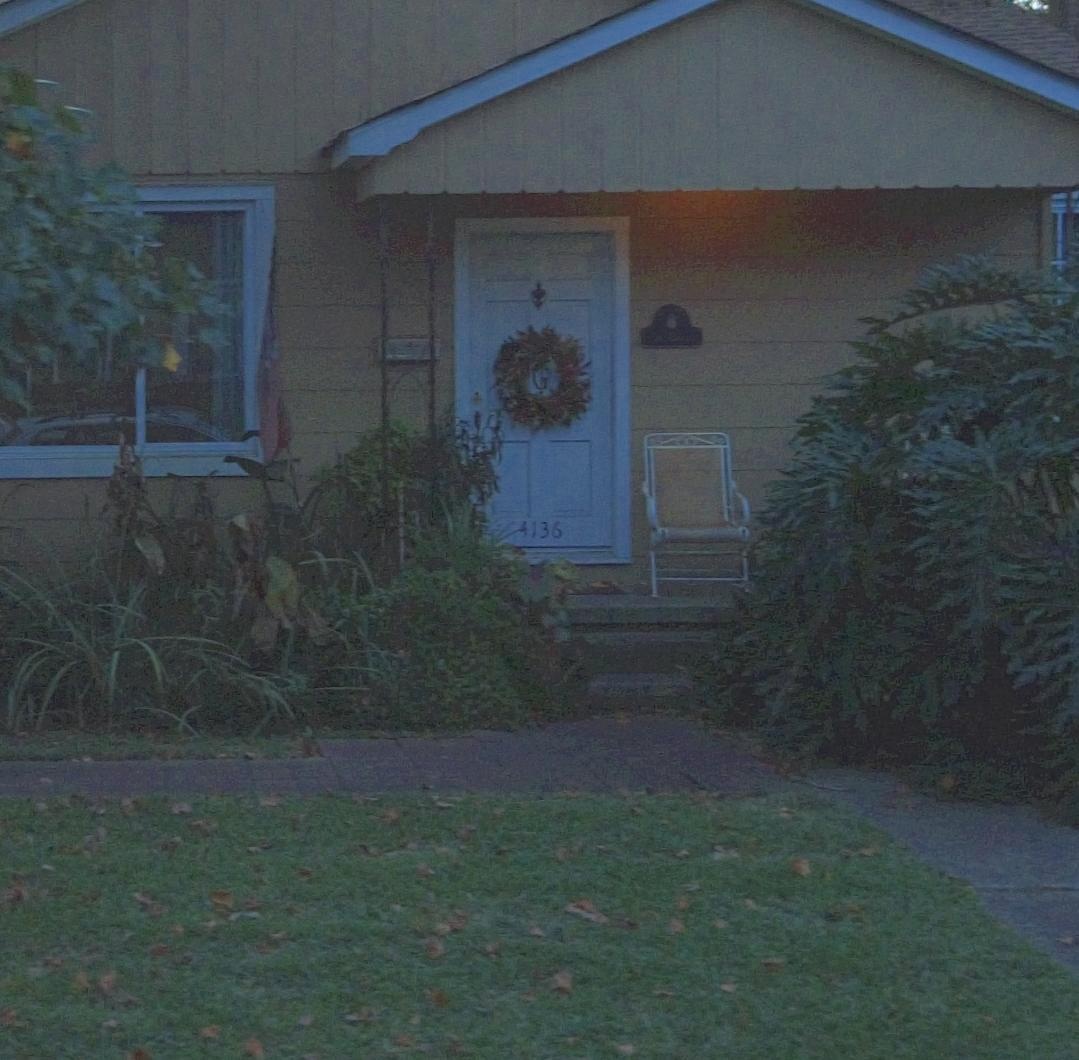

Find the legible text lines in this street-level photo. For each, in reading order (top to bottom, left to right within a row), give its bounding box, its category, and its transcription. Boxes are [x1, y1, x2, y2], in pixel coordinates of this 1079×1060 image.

[517, 518, 564, 541] StreetNumber: 4136